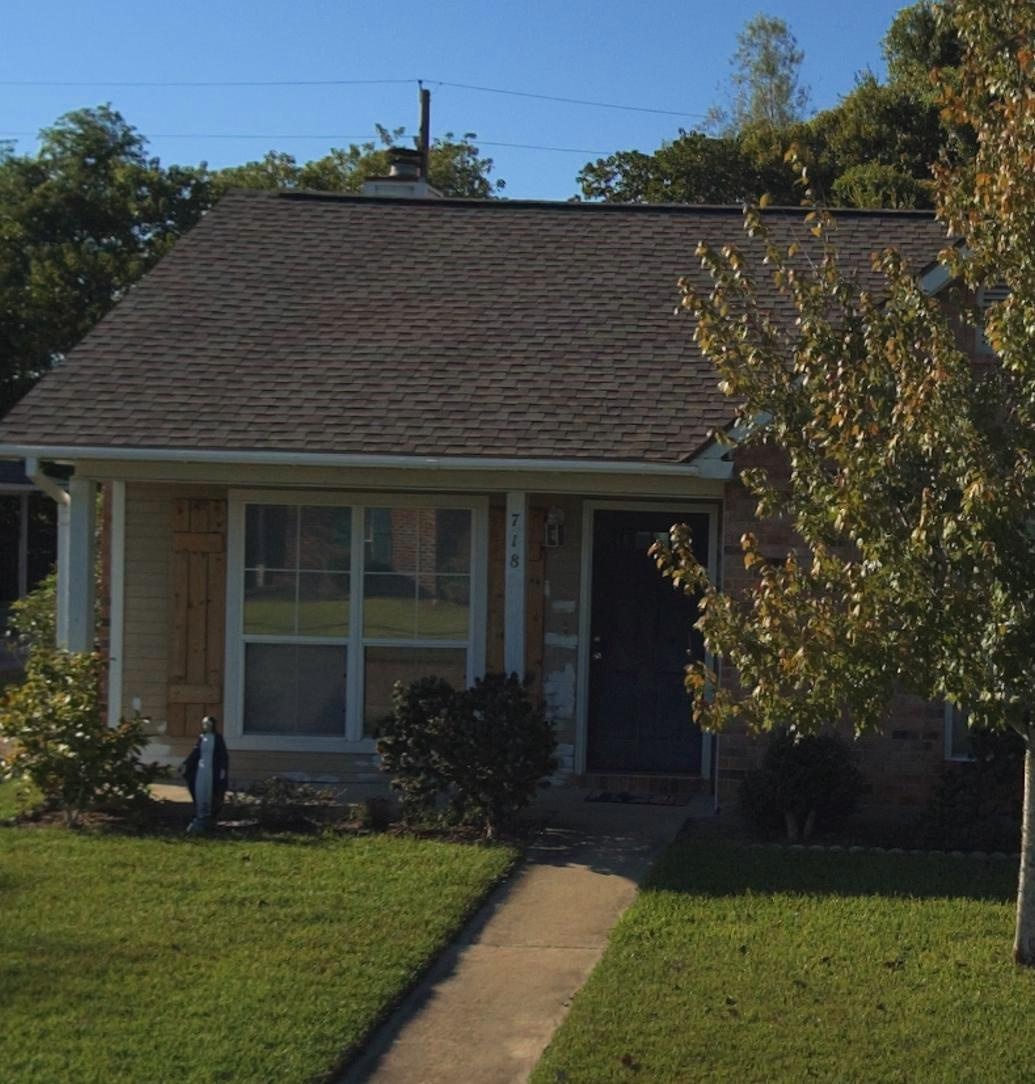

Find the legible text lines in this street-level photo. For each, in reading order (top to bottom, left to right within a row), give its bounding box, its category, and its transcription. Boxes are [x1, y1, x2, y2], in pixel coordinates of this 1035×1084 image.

[509, 513, 520, 569] StreetNumber: 718